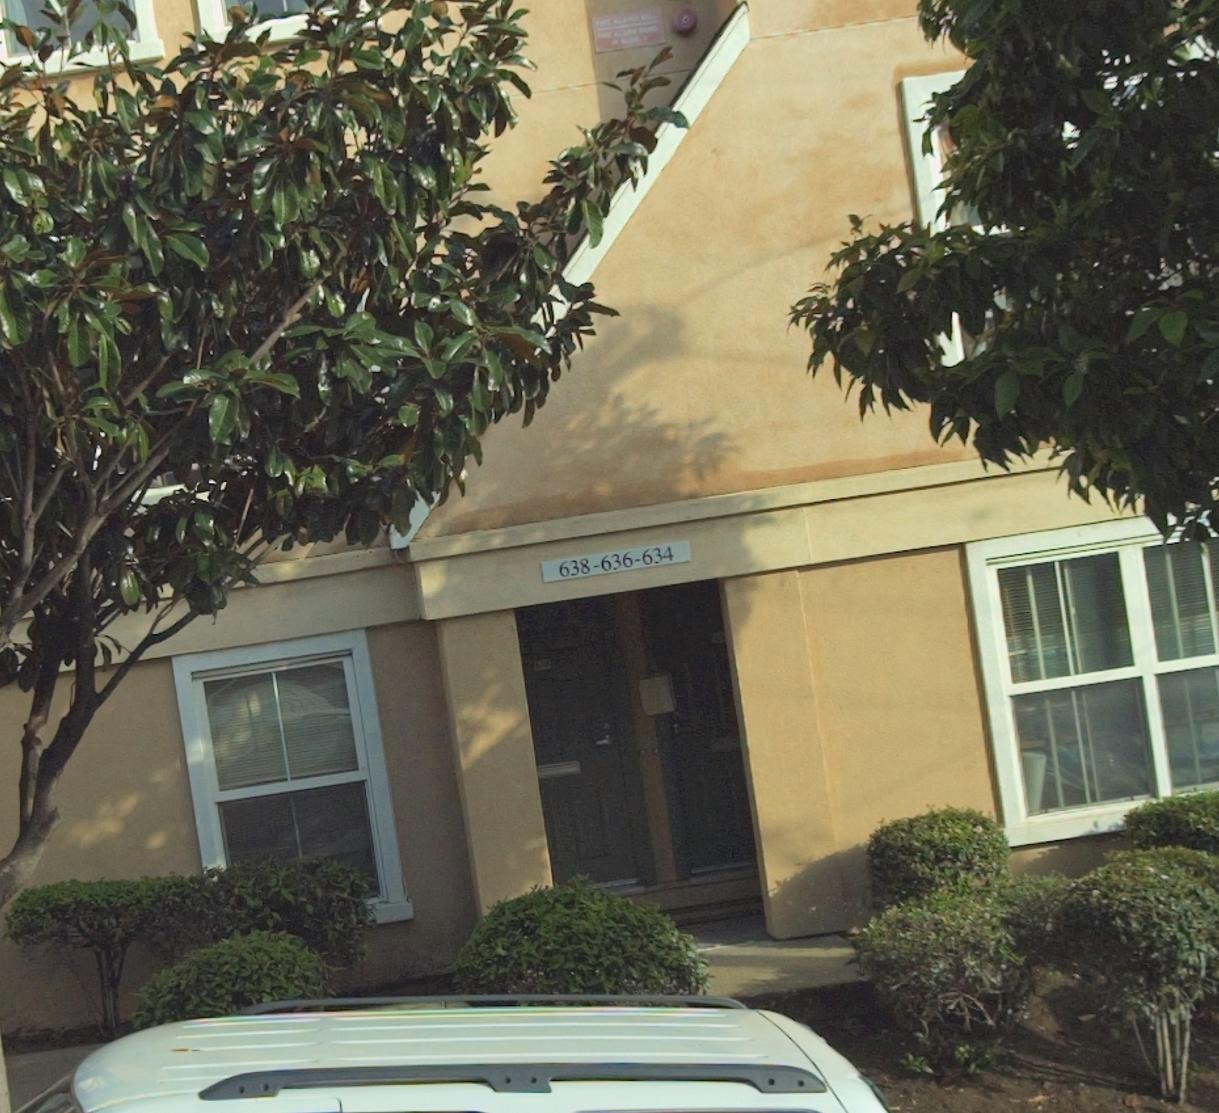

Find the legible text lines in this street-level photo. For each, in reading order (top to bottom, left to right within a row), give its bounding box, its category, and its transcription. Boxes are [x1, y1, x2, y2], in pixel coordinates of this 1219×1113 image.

[557, 555, 593, 581] StreetNumber: 638
[598, 548, 637, 574] StreetNumber: 636
[639, 543, 677, 570] StreetNumber: 634